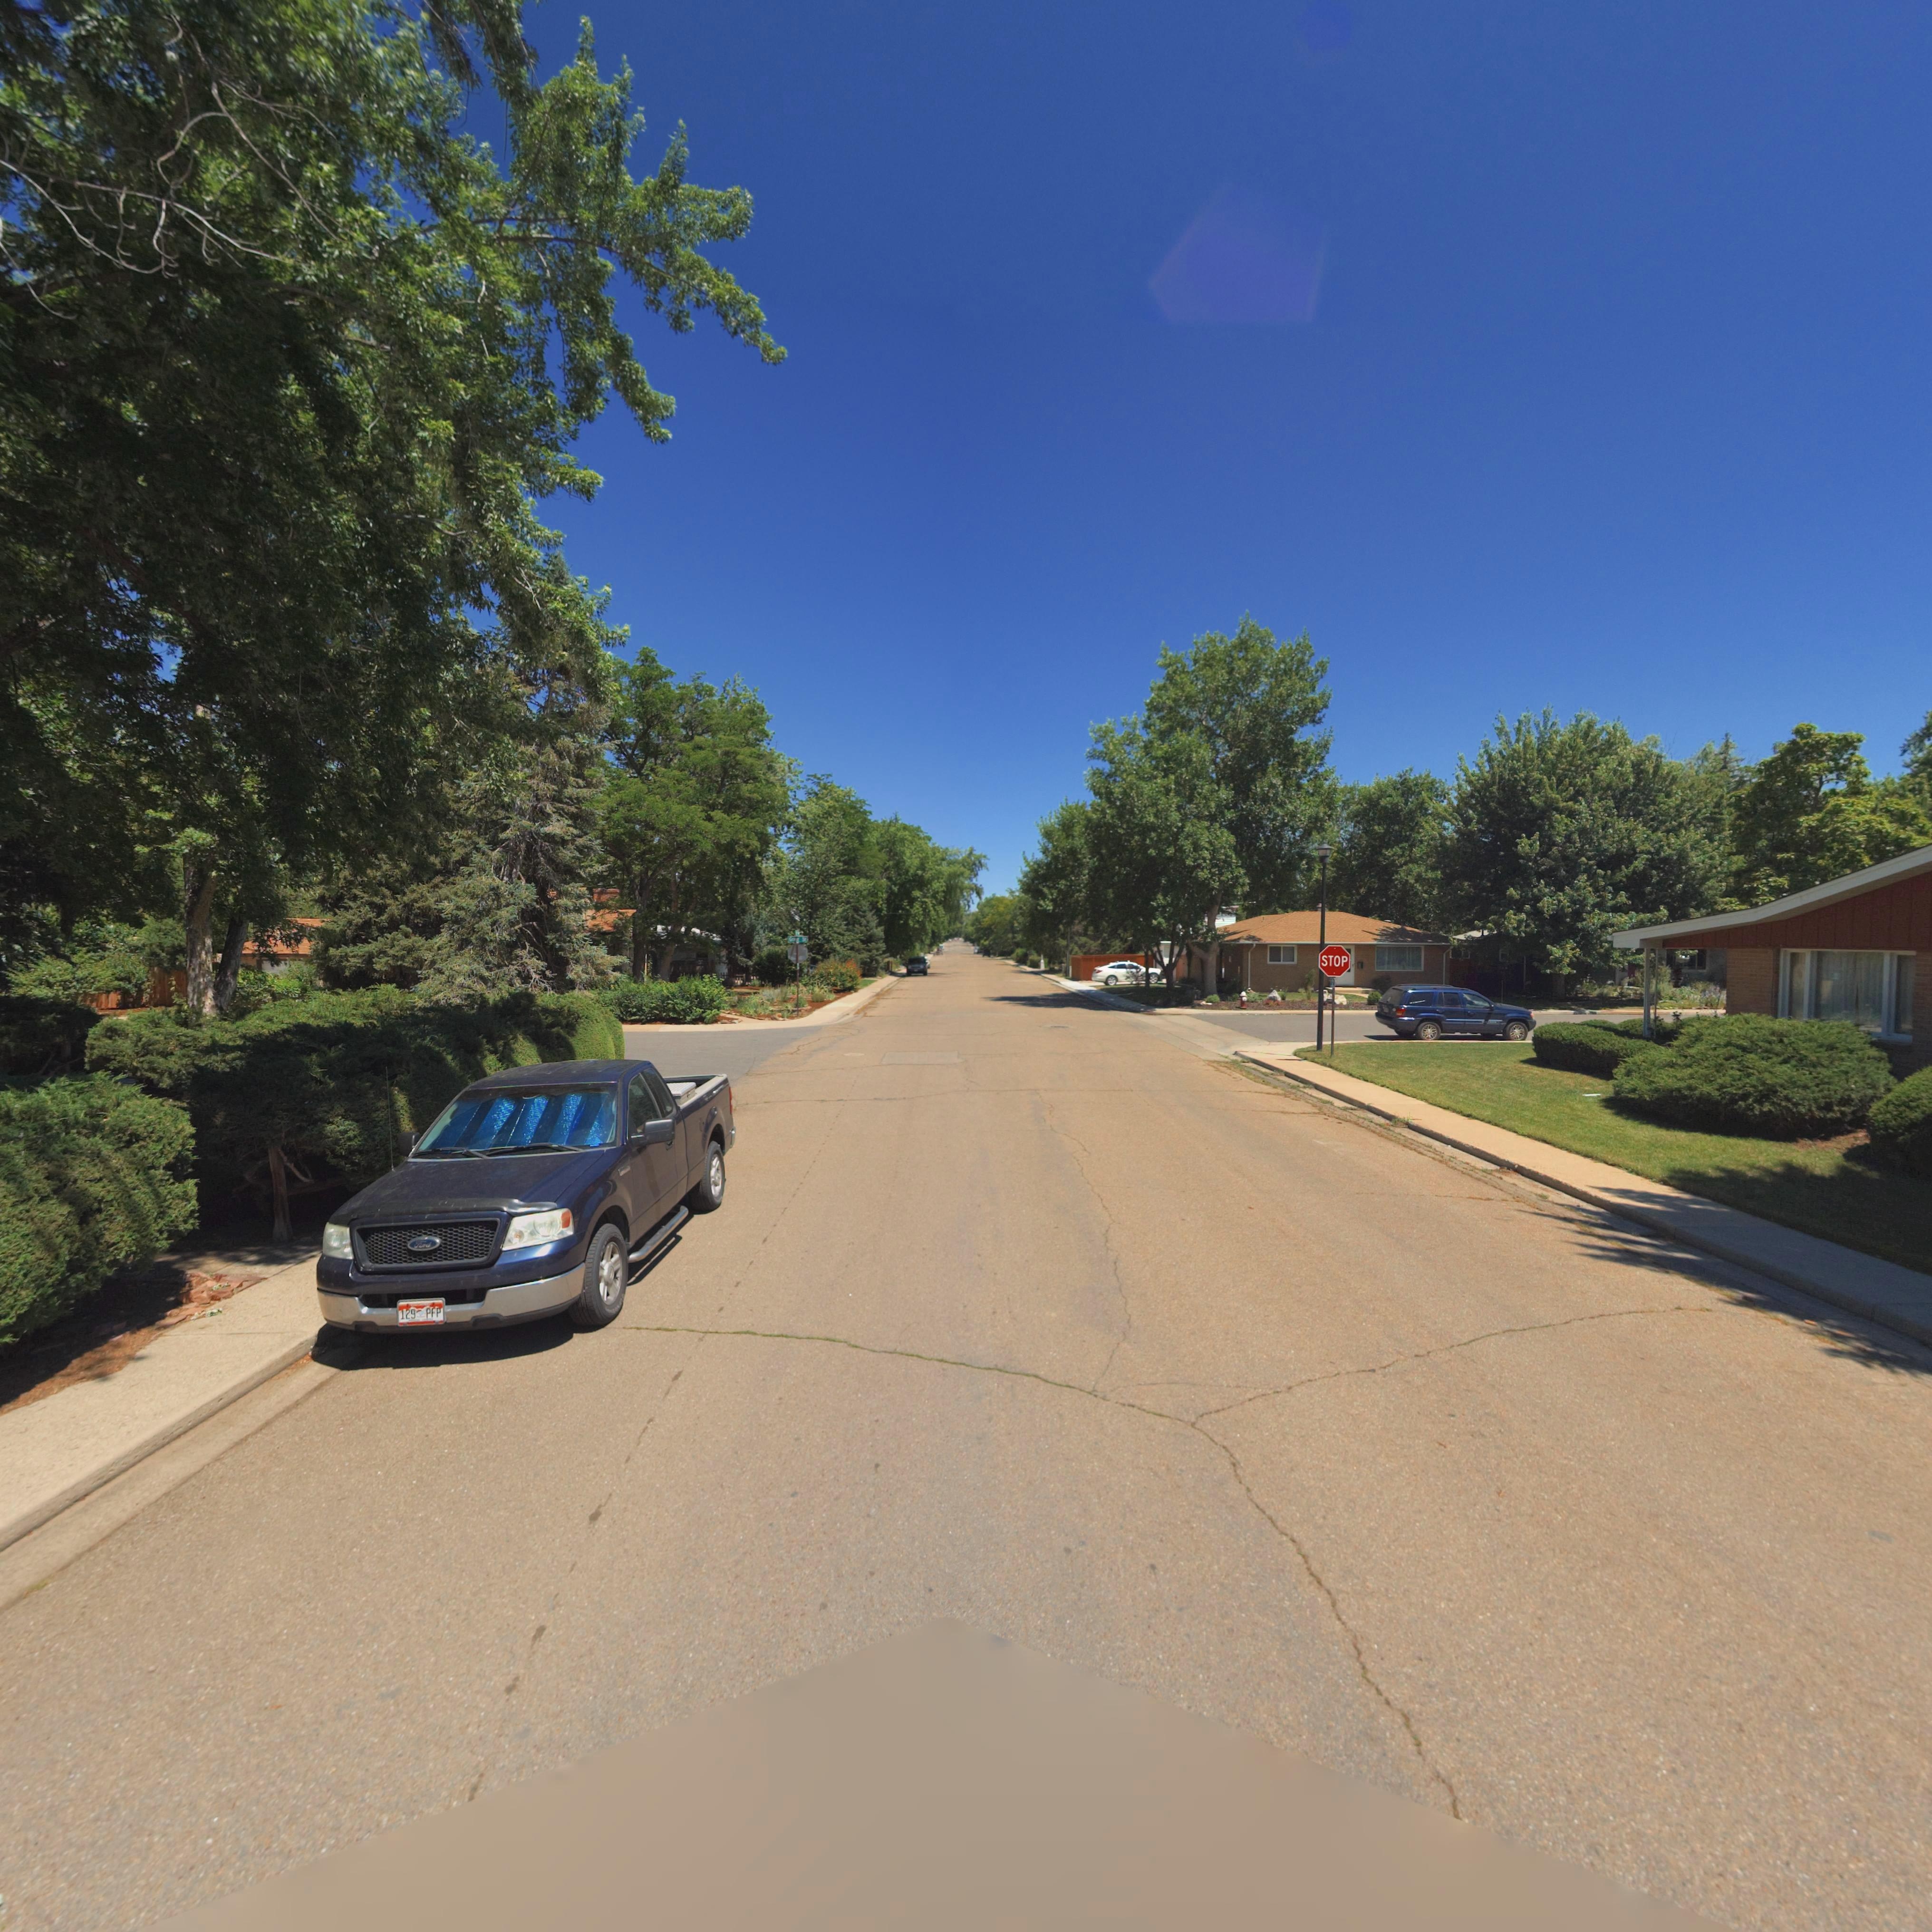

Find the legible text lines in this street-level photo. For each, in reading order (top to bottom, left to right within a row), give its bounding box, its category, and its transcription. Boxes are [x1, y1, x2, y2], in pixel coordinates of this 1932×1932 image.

[789, 937, 806, 942] StreetName: Grant St